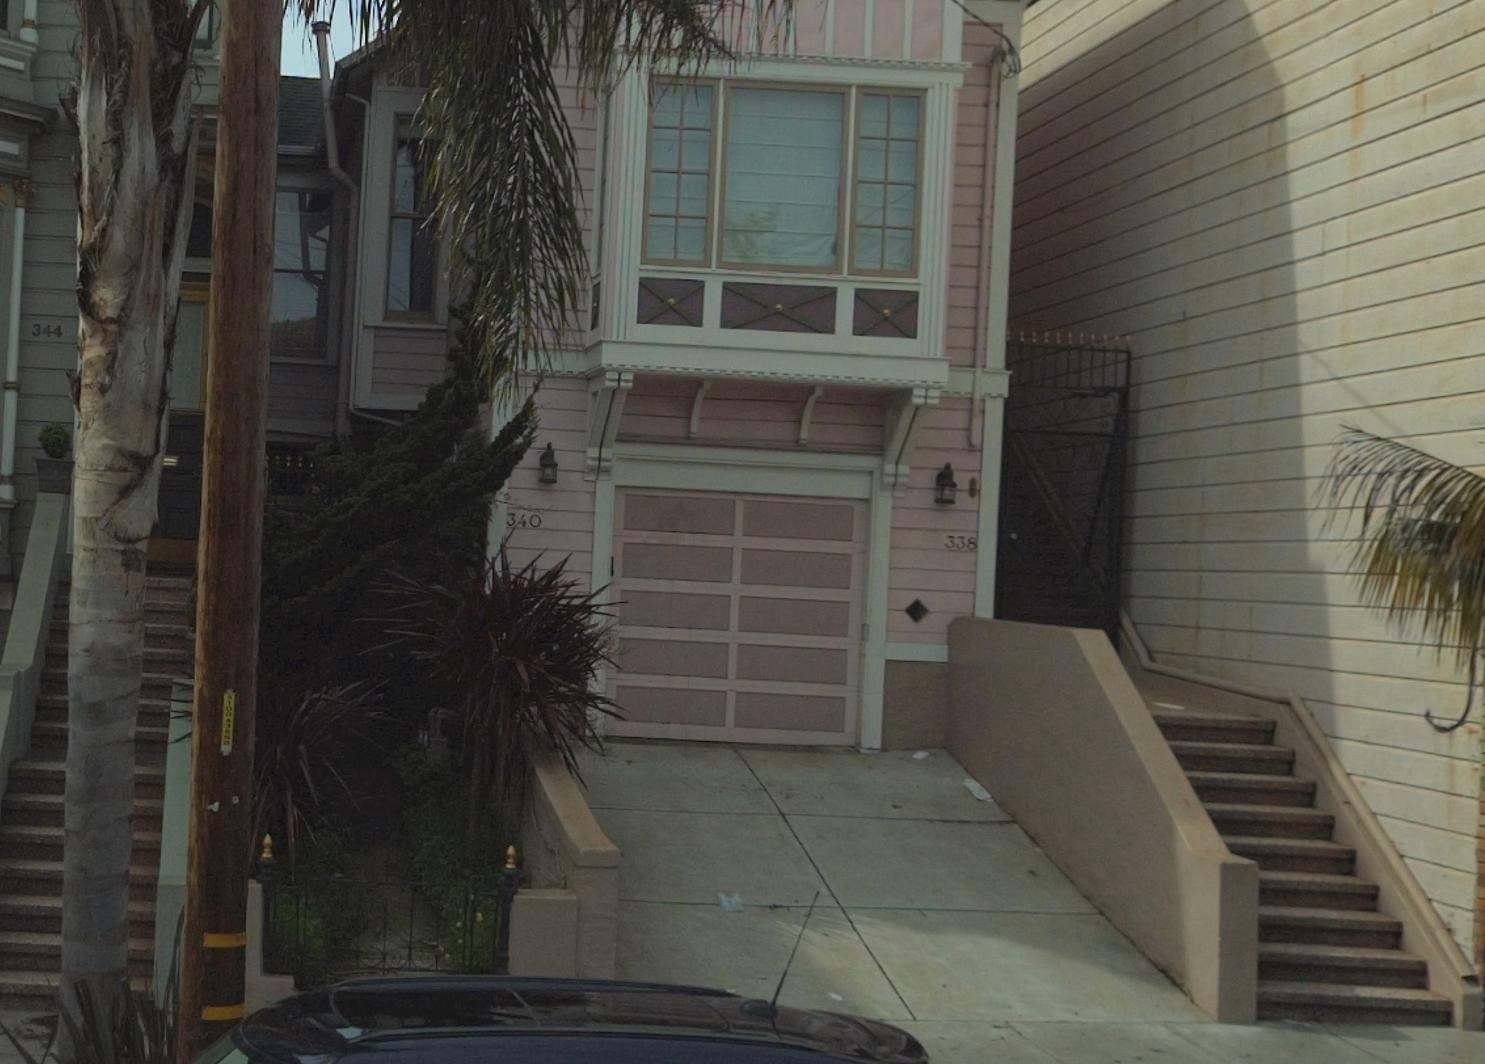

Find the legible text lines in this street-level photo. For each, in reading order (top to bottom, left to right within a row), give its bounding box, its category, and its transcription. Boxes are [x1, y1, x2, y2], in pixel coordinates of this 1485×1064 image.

[30, 322, 65, 338] StreetNumber: 344
[505, 512, 542, 528] StreetNumber: 340
[945, 534, 978, 552] StreetNumber: 338